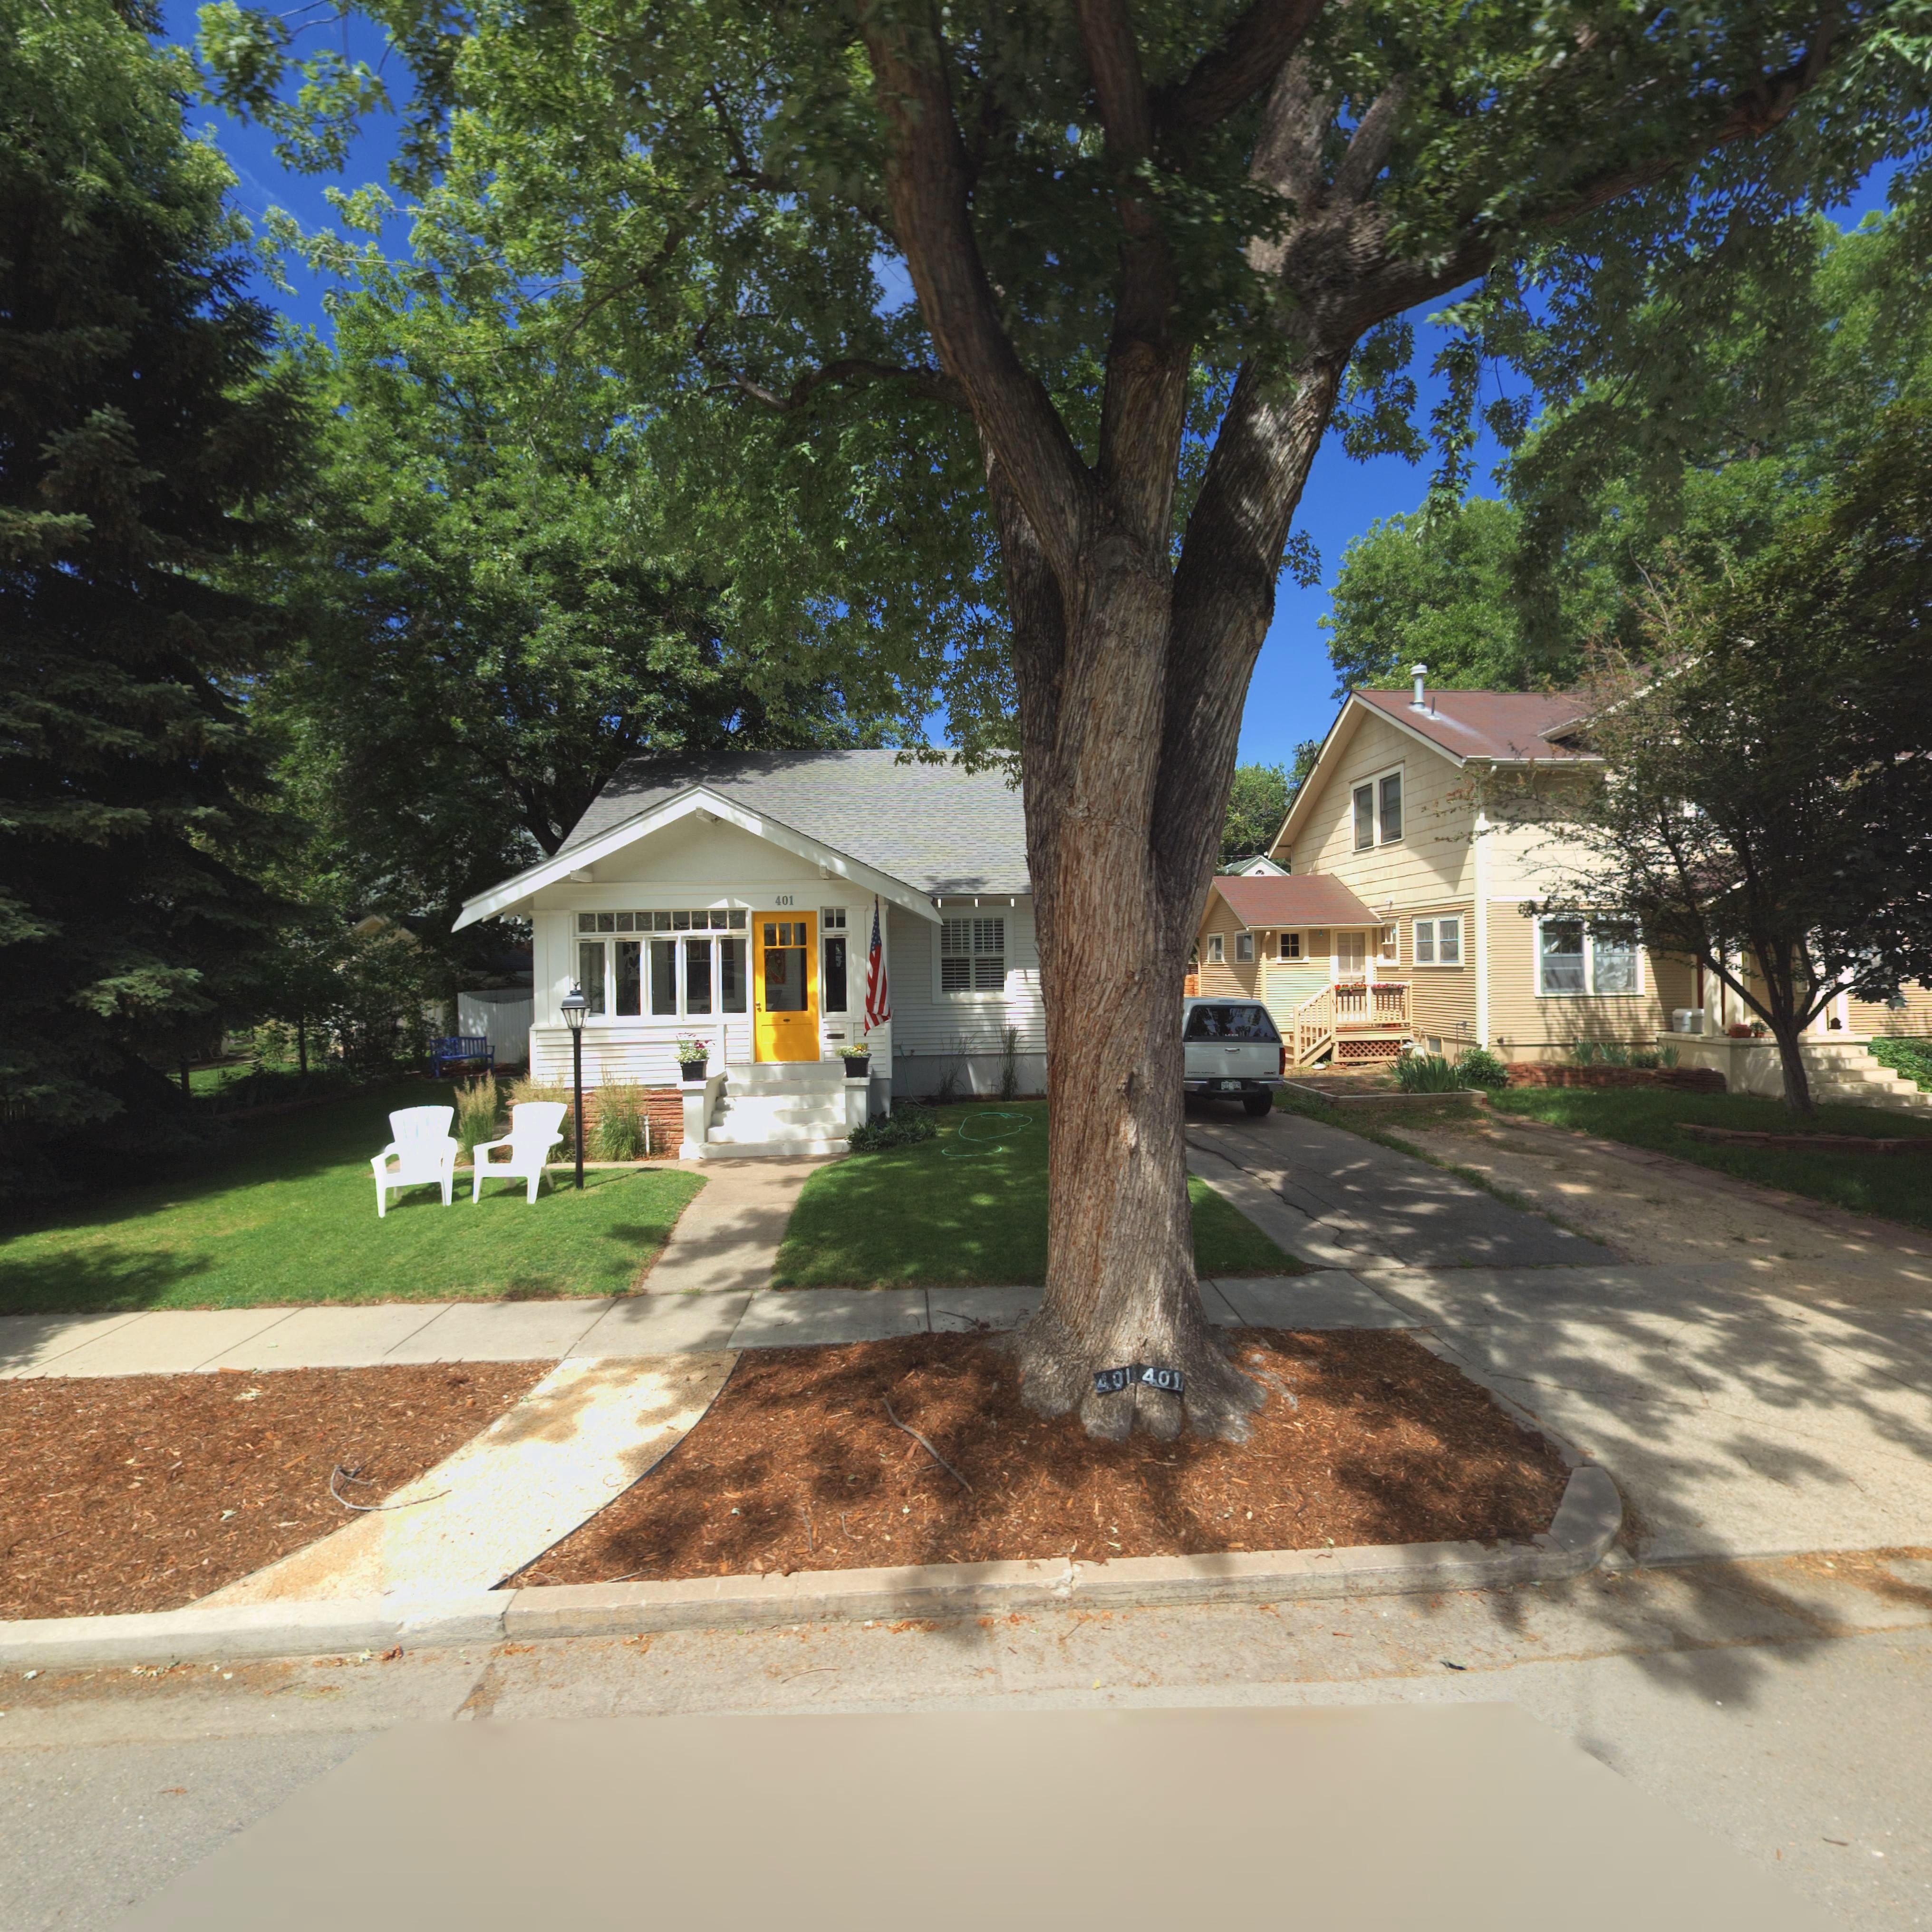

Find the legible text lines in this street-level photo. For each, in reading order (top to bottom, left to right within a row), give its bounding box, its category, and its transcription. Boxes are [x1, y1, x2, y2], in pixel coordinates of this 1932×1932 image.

[774, 895, 793, 905] StreetNumber: 401
[1095, 1367, 1131, 1391] StreetNumber: 401
[1140, 1367, 1179, 1389] StreetNumber: 401